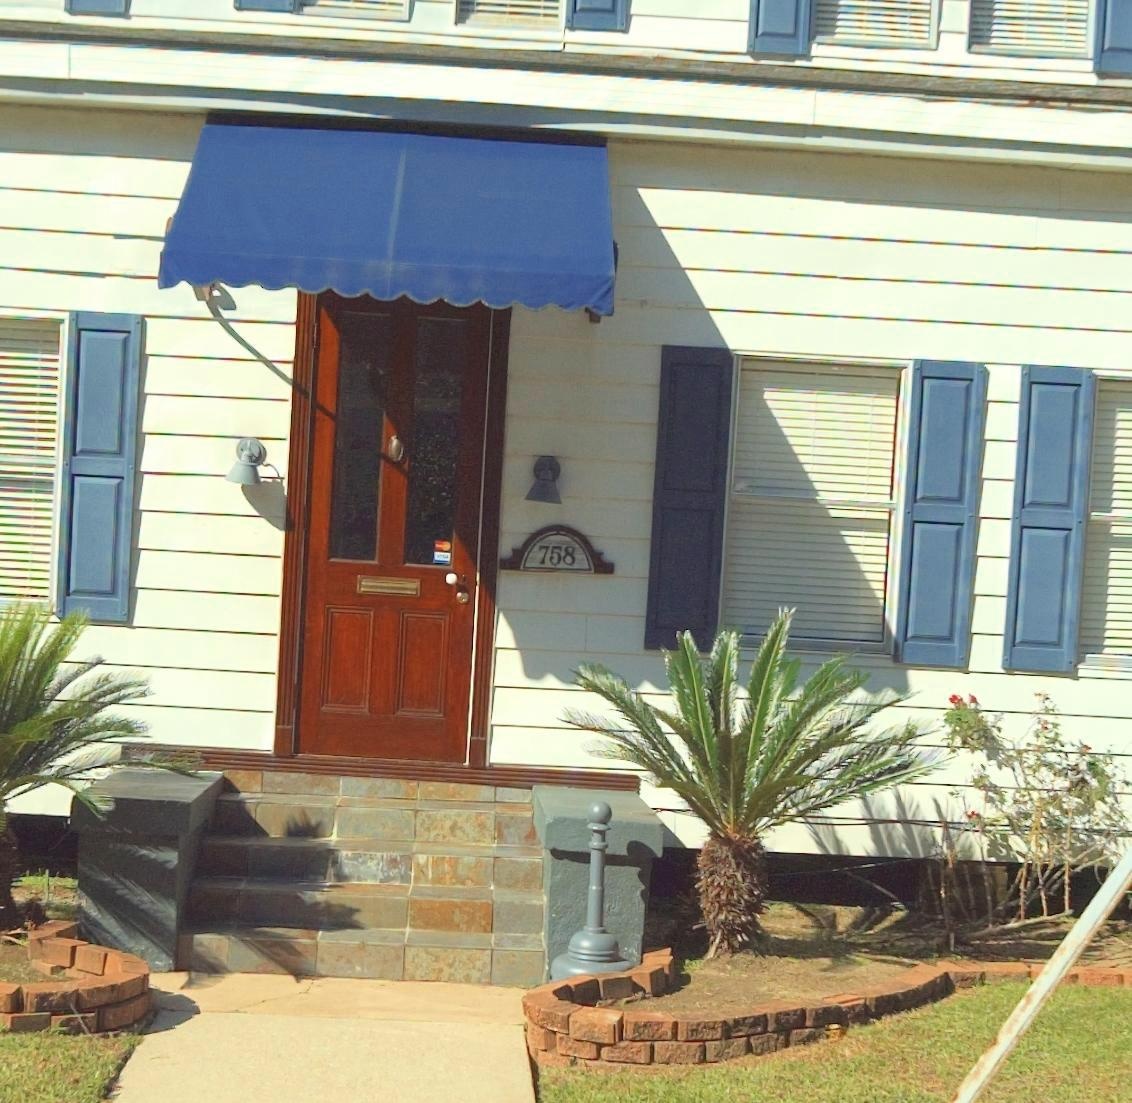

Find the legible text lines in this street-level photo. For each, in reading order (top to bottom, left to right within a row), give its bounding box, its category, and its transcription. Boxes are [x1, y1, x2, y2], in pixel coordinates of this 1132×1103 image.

[536, 542, 579, 569] StreetNumber: 758